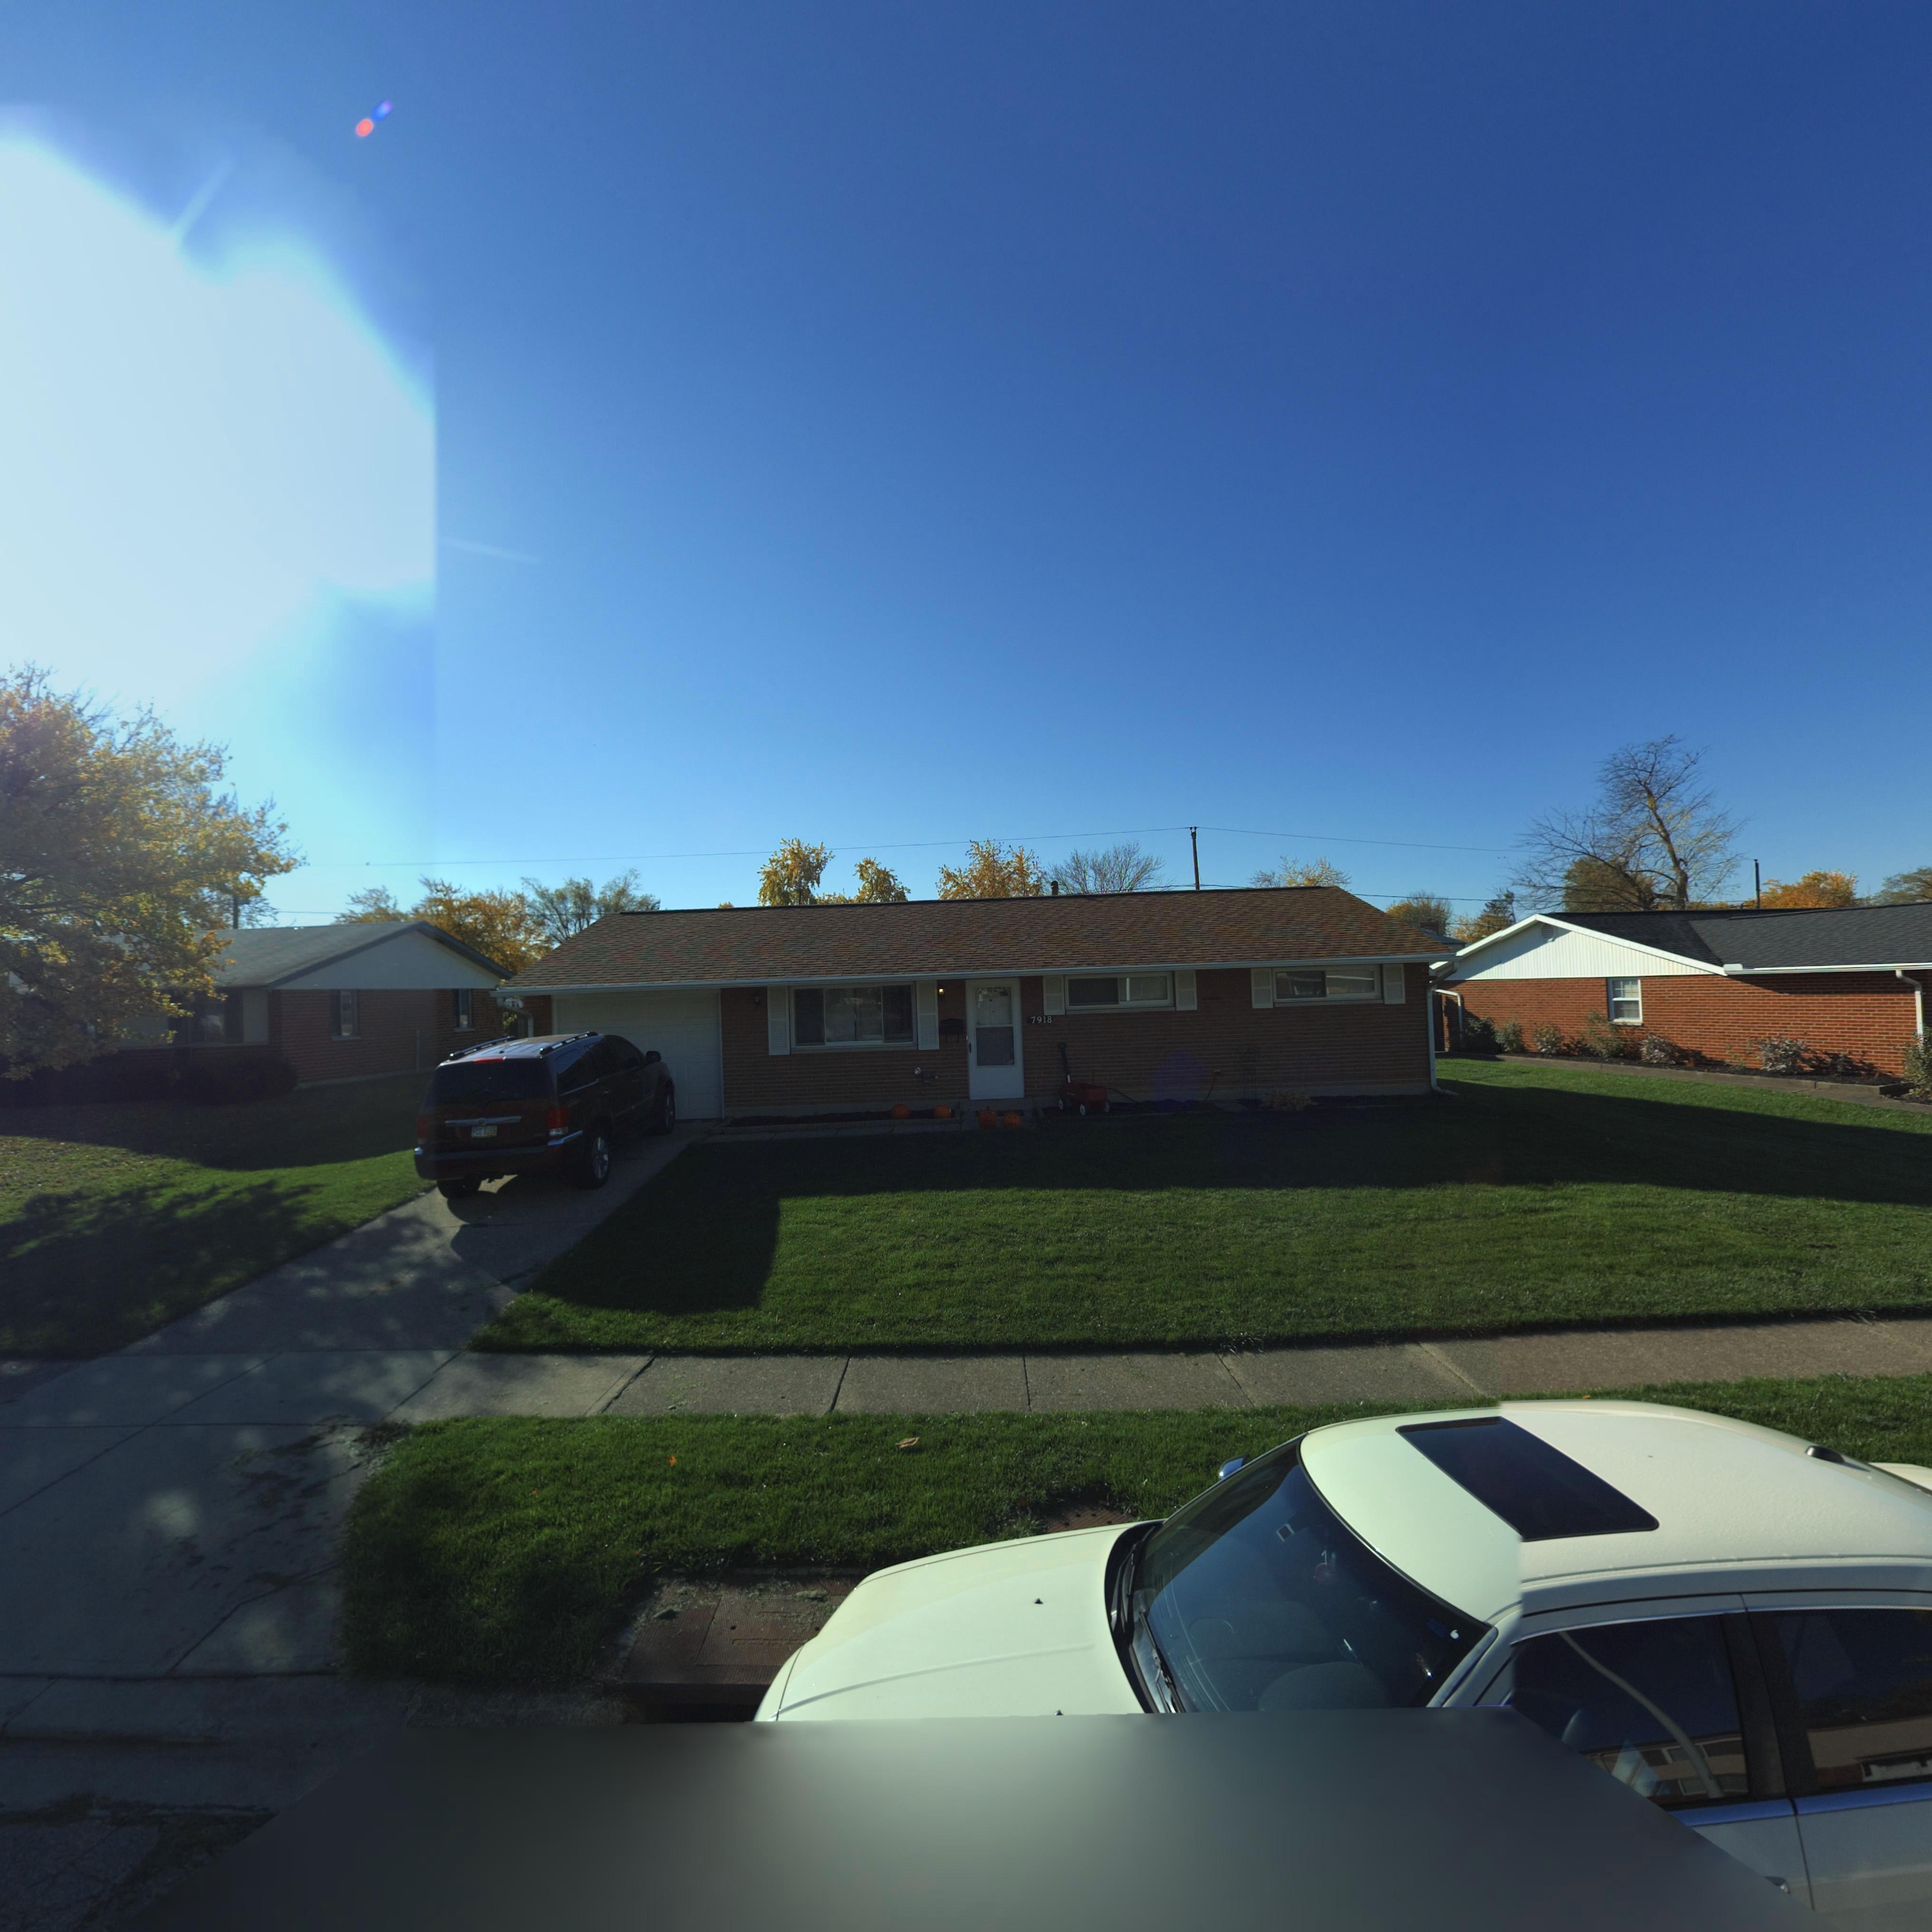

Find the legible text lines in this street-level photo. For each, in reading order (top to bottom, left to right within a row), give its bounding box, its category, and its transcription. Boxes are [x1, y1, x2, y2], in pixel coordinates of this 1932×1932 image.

[1029, 1015, 1053, 1025] StreetNumber: 7918